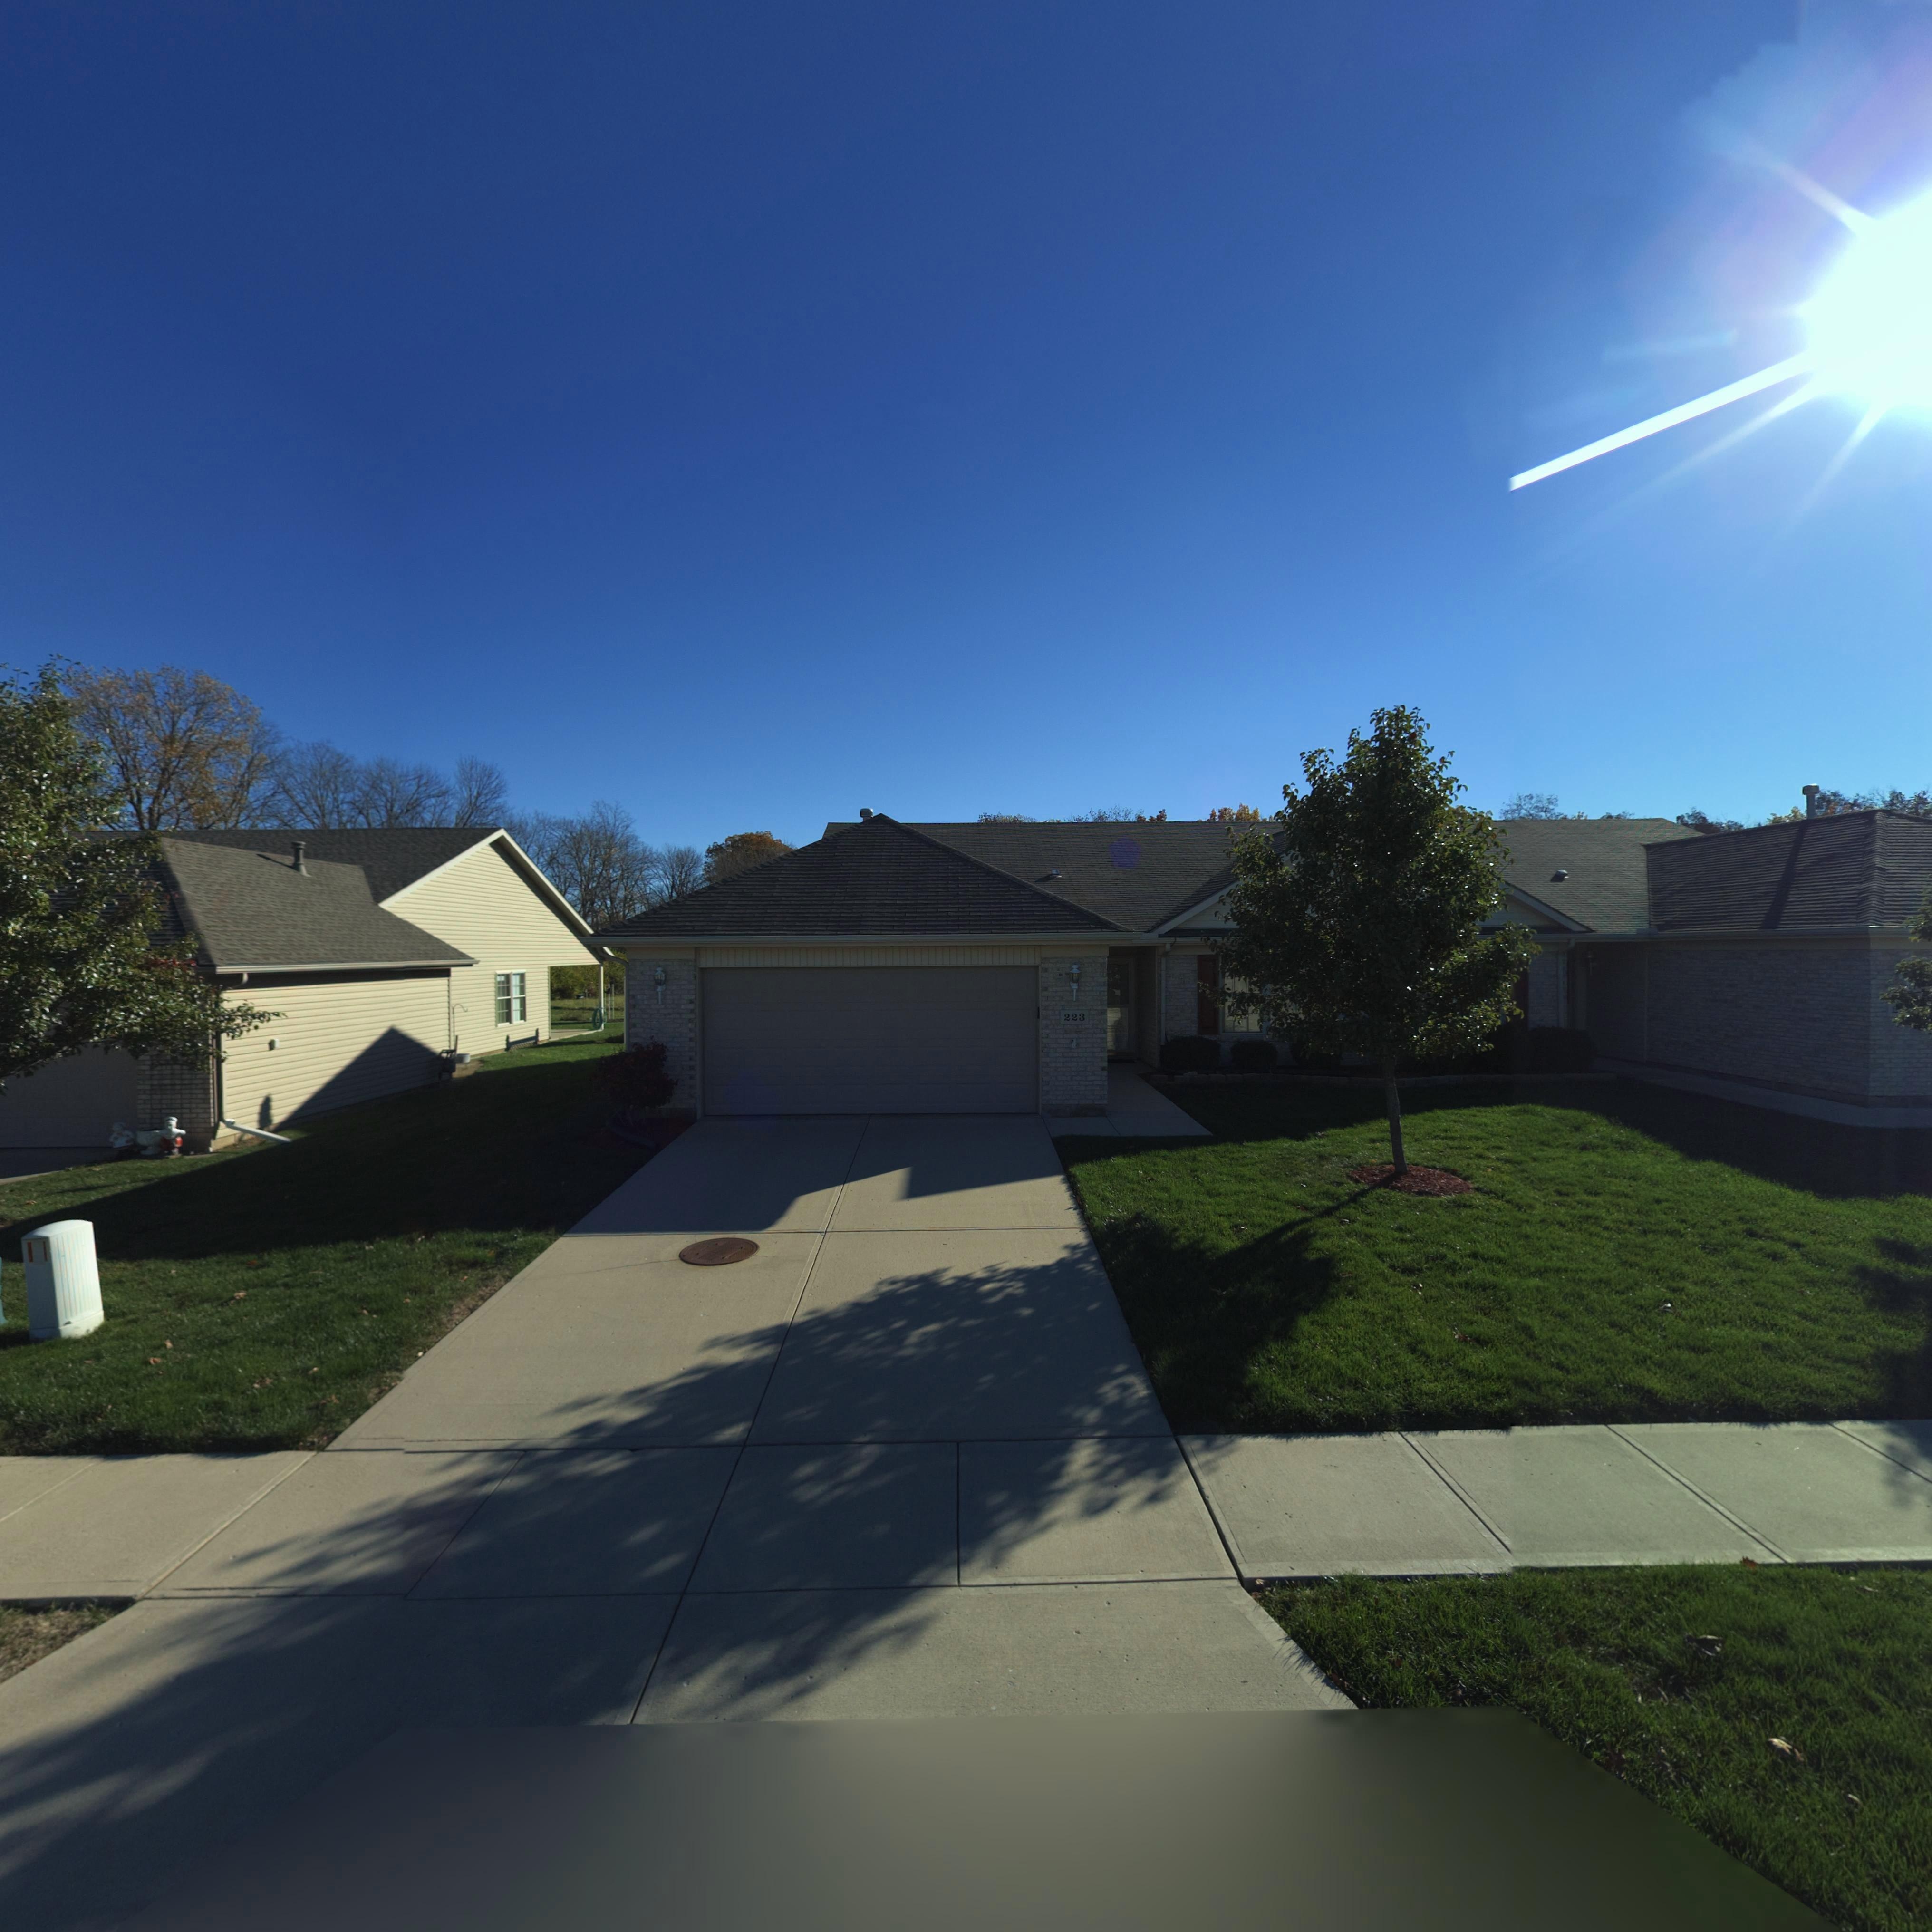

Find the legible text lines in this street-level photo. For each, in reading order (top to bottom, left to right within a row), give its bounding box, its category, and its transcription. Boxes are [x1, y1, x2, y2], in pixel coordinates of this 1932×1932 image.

[1063, 1012, 1086, 1022] StreetNumber: 223